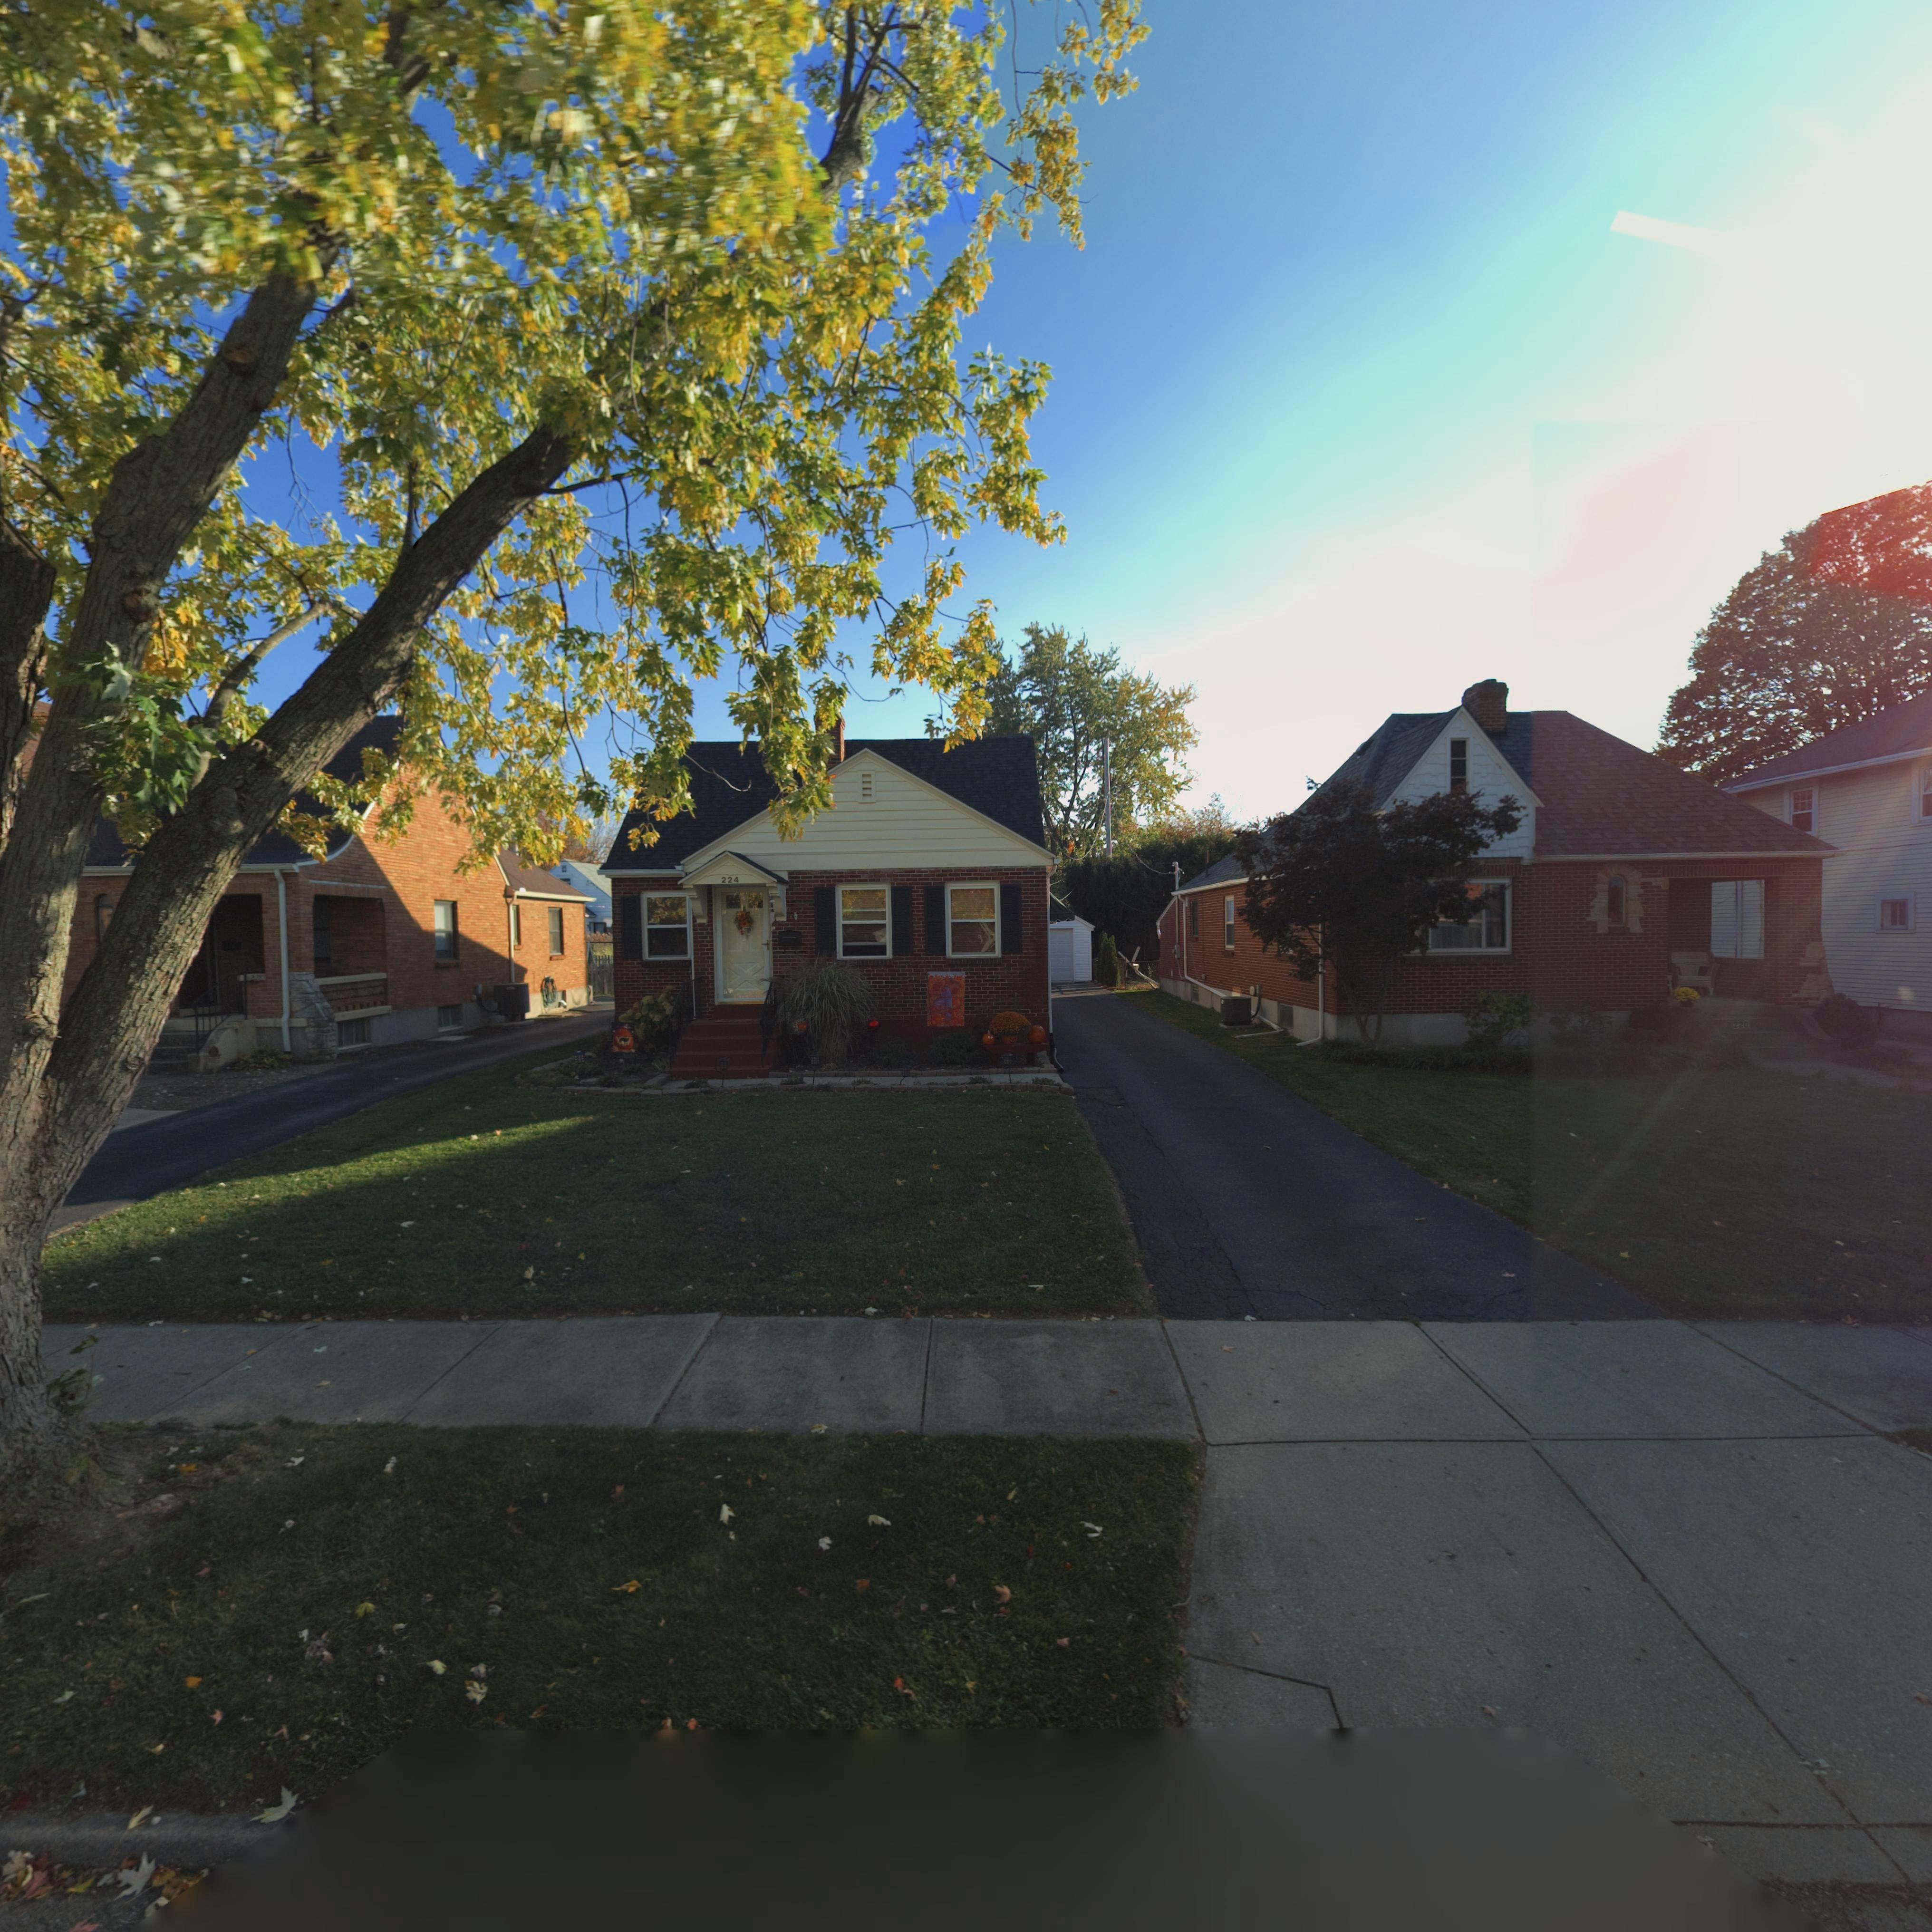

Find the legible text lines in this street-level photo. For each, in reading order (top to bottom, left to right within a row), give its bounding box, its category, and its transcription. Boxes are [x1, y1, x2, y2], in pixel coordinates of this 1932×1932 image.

[721, 876, 739, 883] StreetNumber: 224
[250, 974, 266, 981] StreetNumber: 228
[1733, 1021, 1749, 1029] StreetNumber: 220